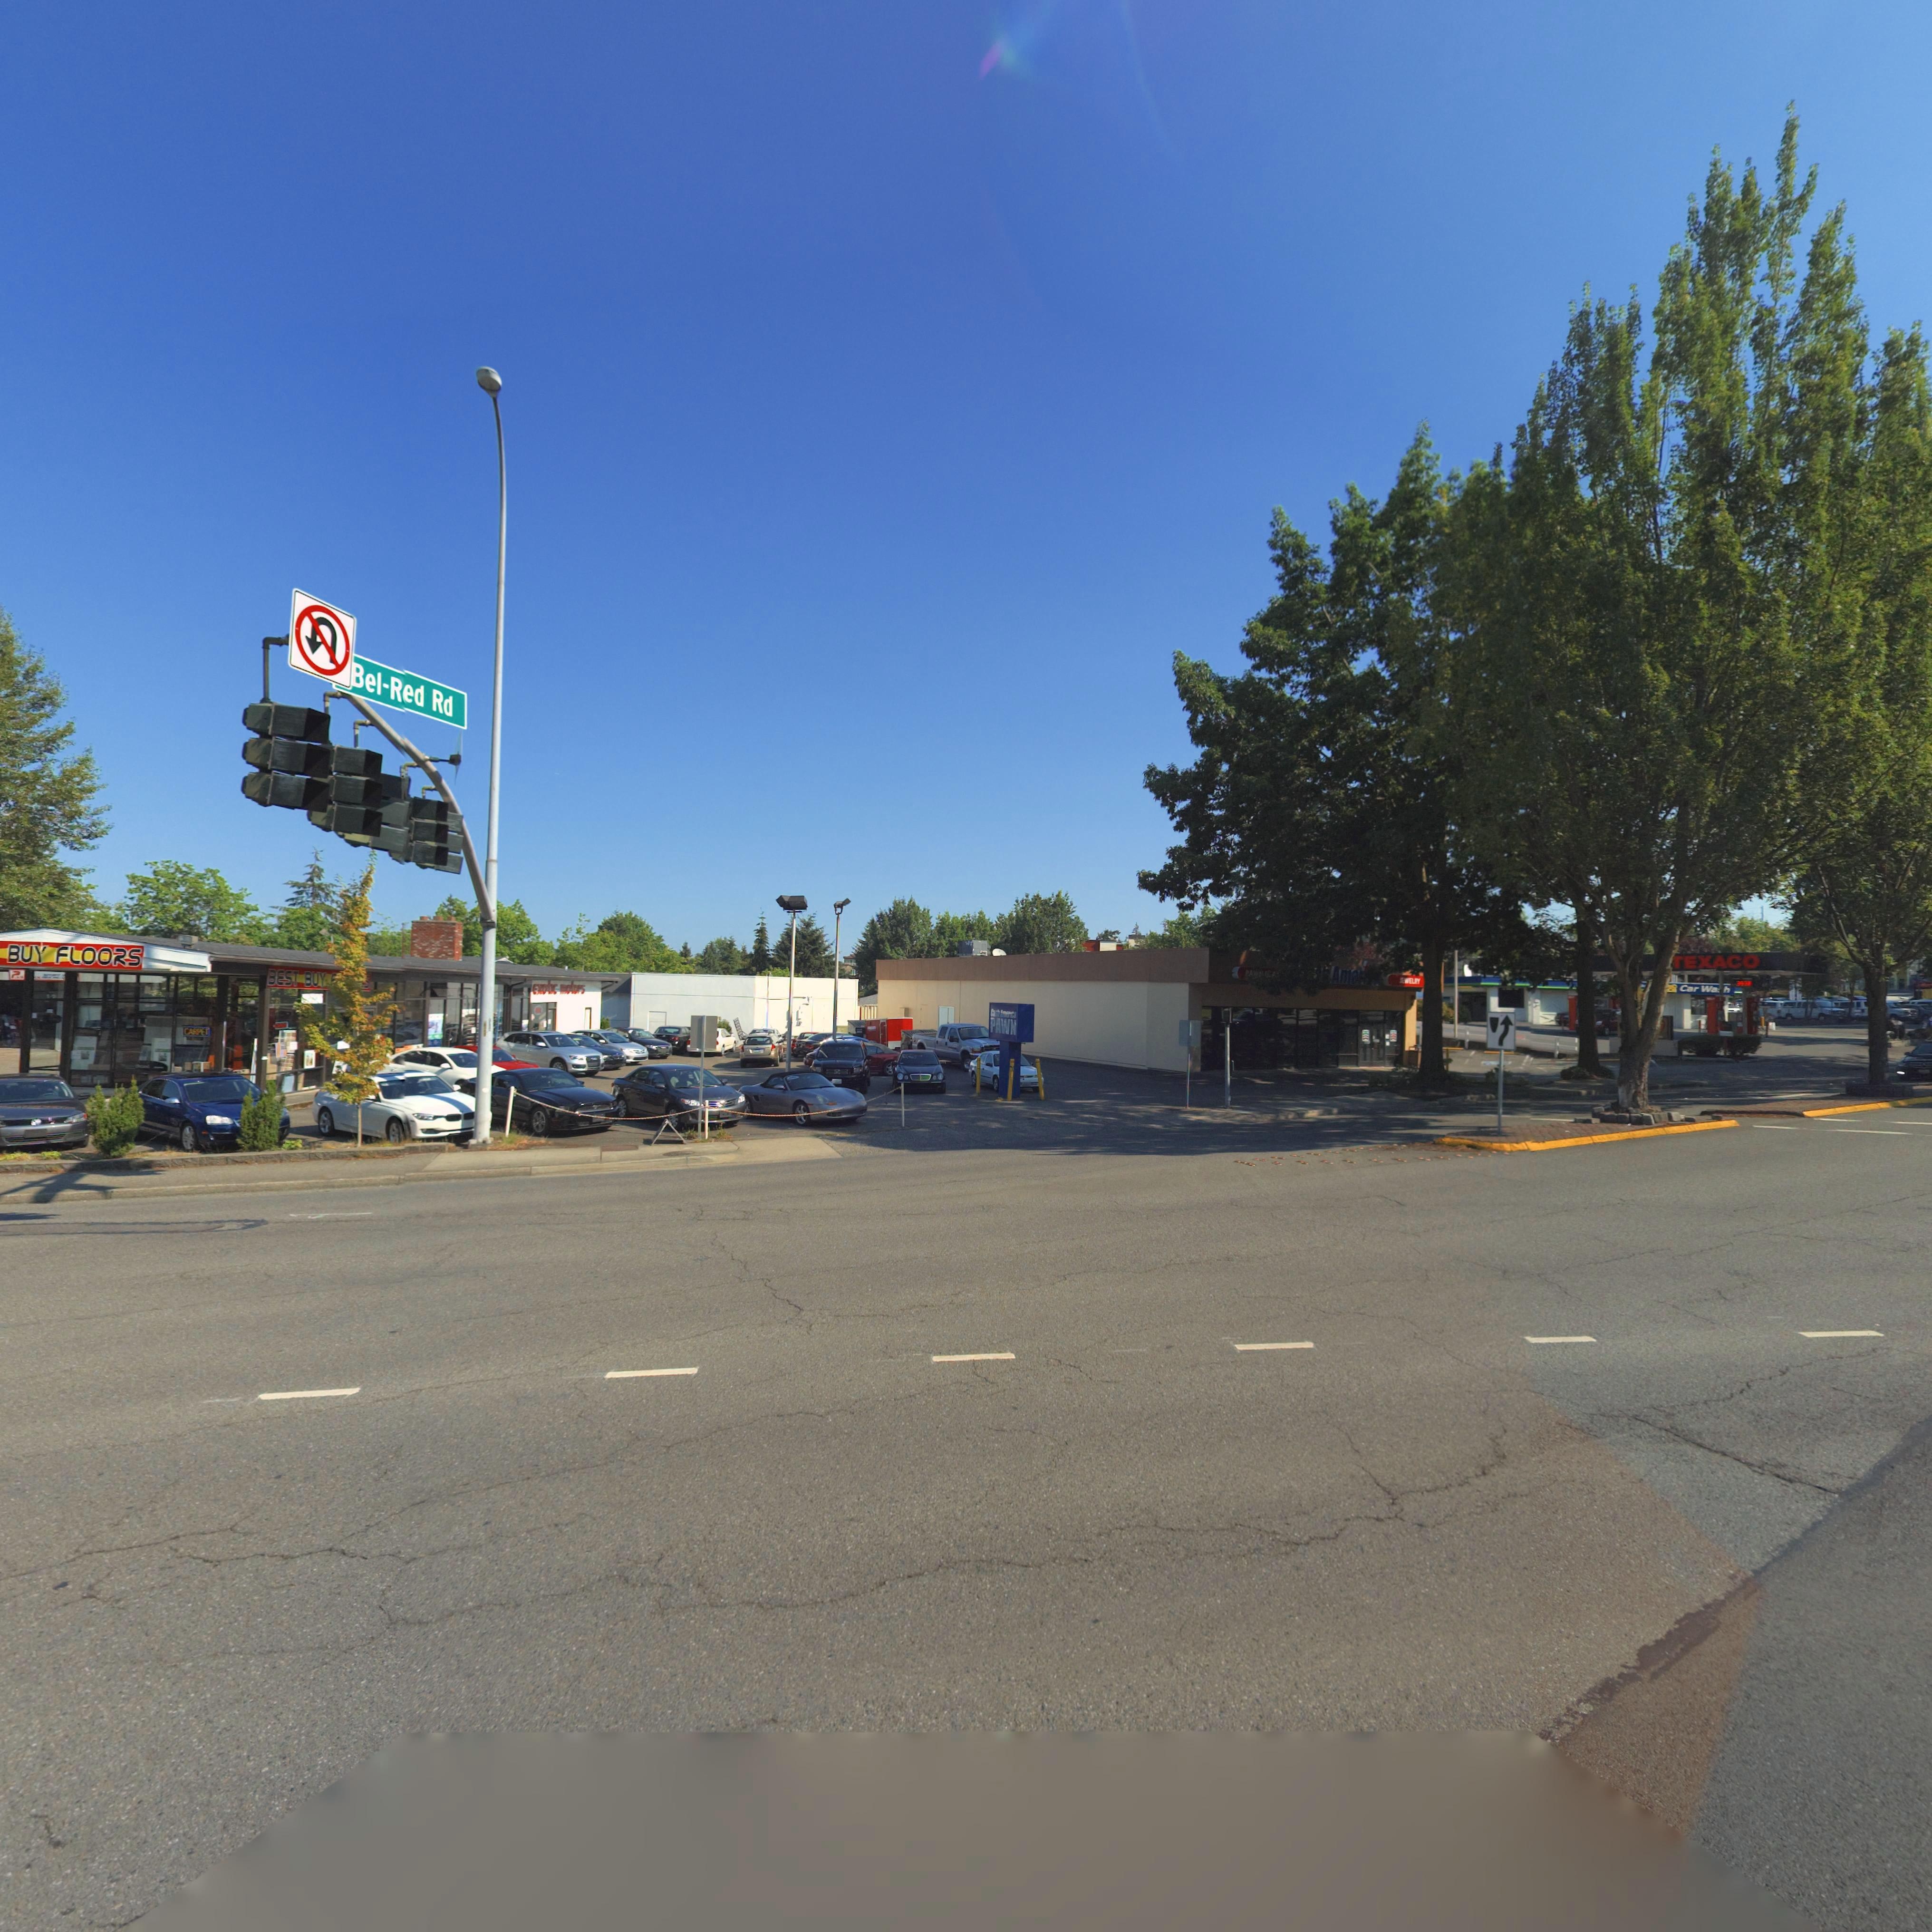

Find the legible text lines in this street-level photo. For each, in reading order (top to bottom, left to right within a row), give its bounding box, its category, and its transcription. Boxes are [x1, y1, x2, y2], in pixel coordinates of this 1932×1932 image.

[351, 660, 454, 717] BusinessName: Bel-Red Rd
[8, 945, 140, 966] BusinessName: BUY FLOORS
[1684, 954, 1761, 969] BusinessName: EXACO
[266, 968, 328, 987] BusinessName: BEST BUY
[1679, 984, 1718, 992] BusinessName: Car Wa
[990, 1017, 1016, 1035] BusinessName: PAWN